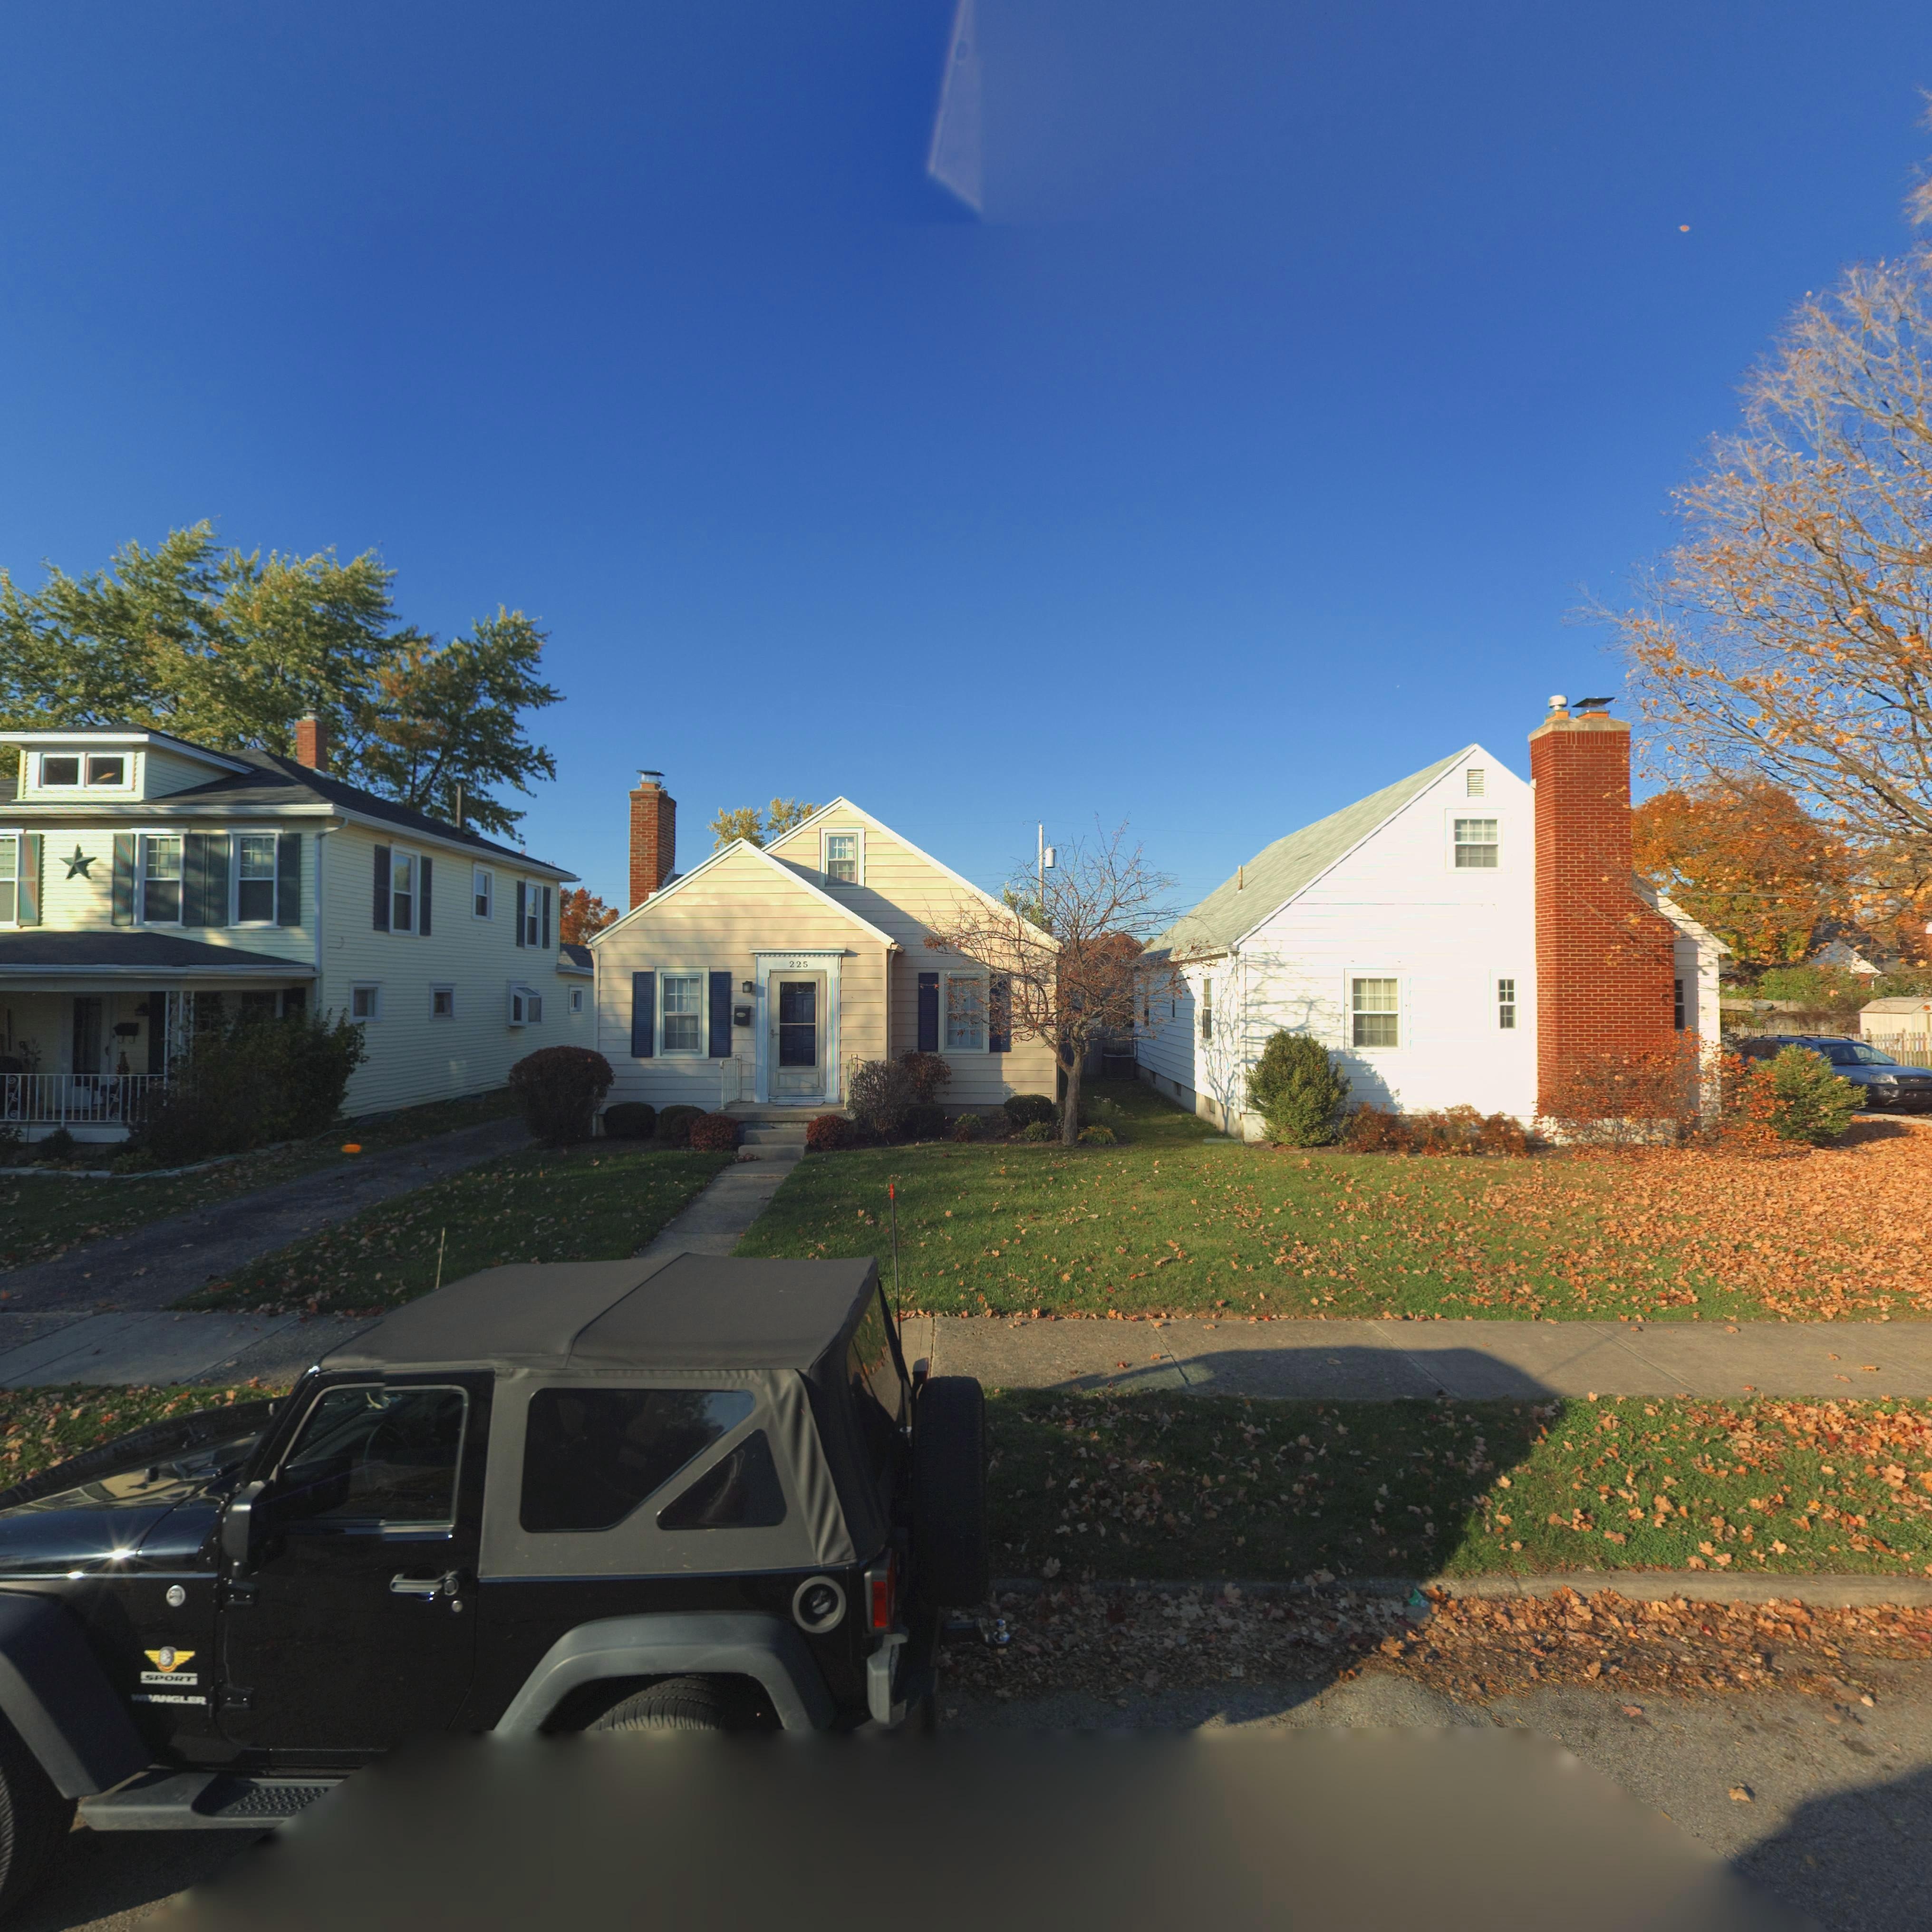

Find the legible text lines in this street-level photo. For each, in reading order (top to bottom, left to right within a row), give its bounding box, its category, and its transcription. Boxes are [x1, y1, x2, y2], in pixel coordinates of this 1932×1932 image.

[788, 960, 809, 968] StreetNumber: 225